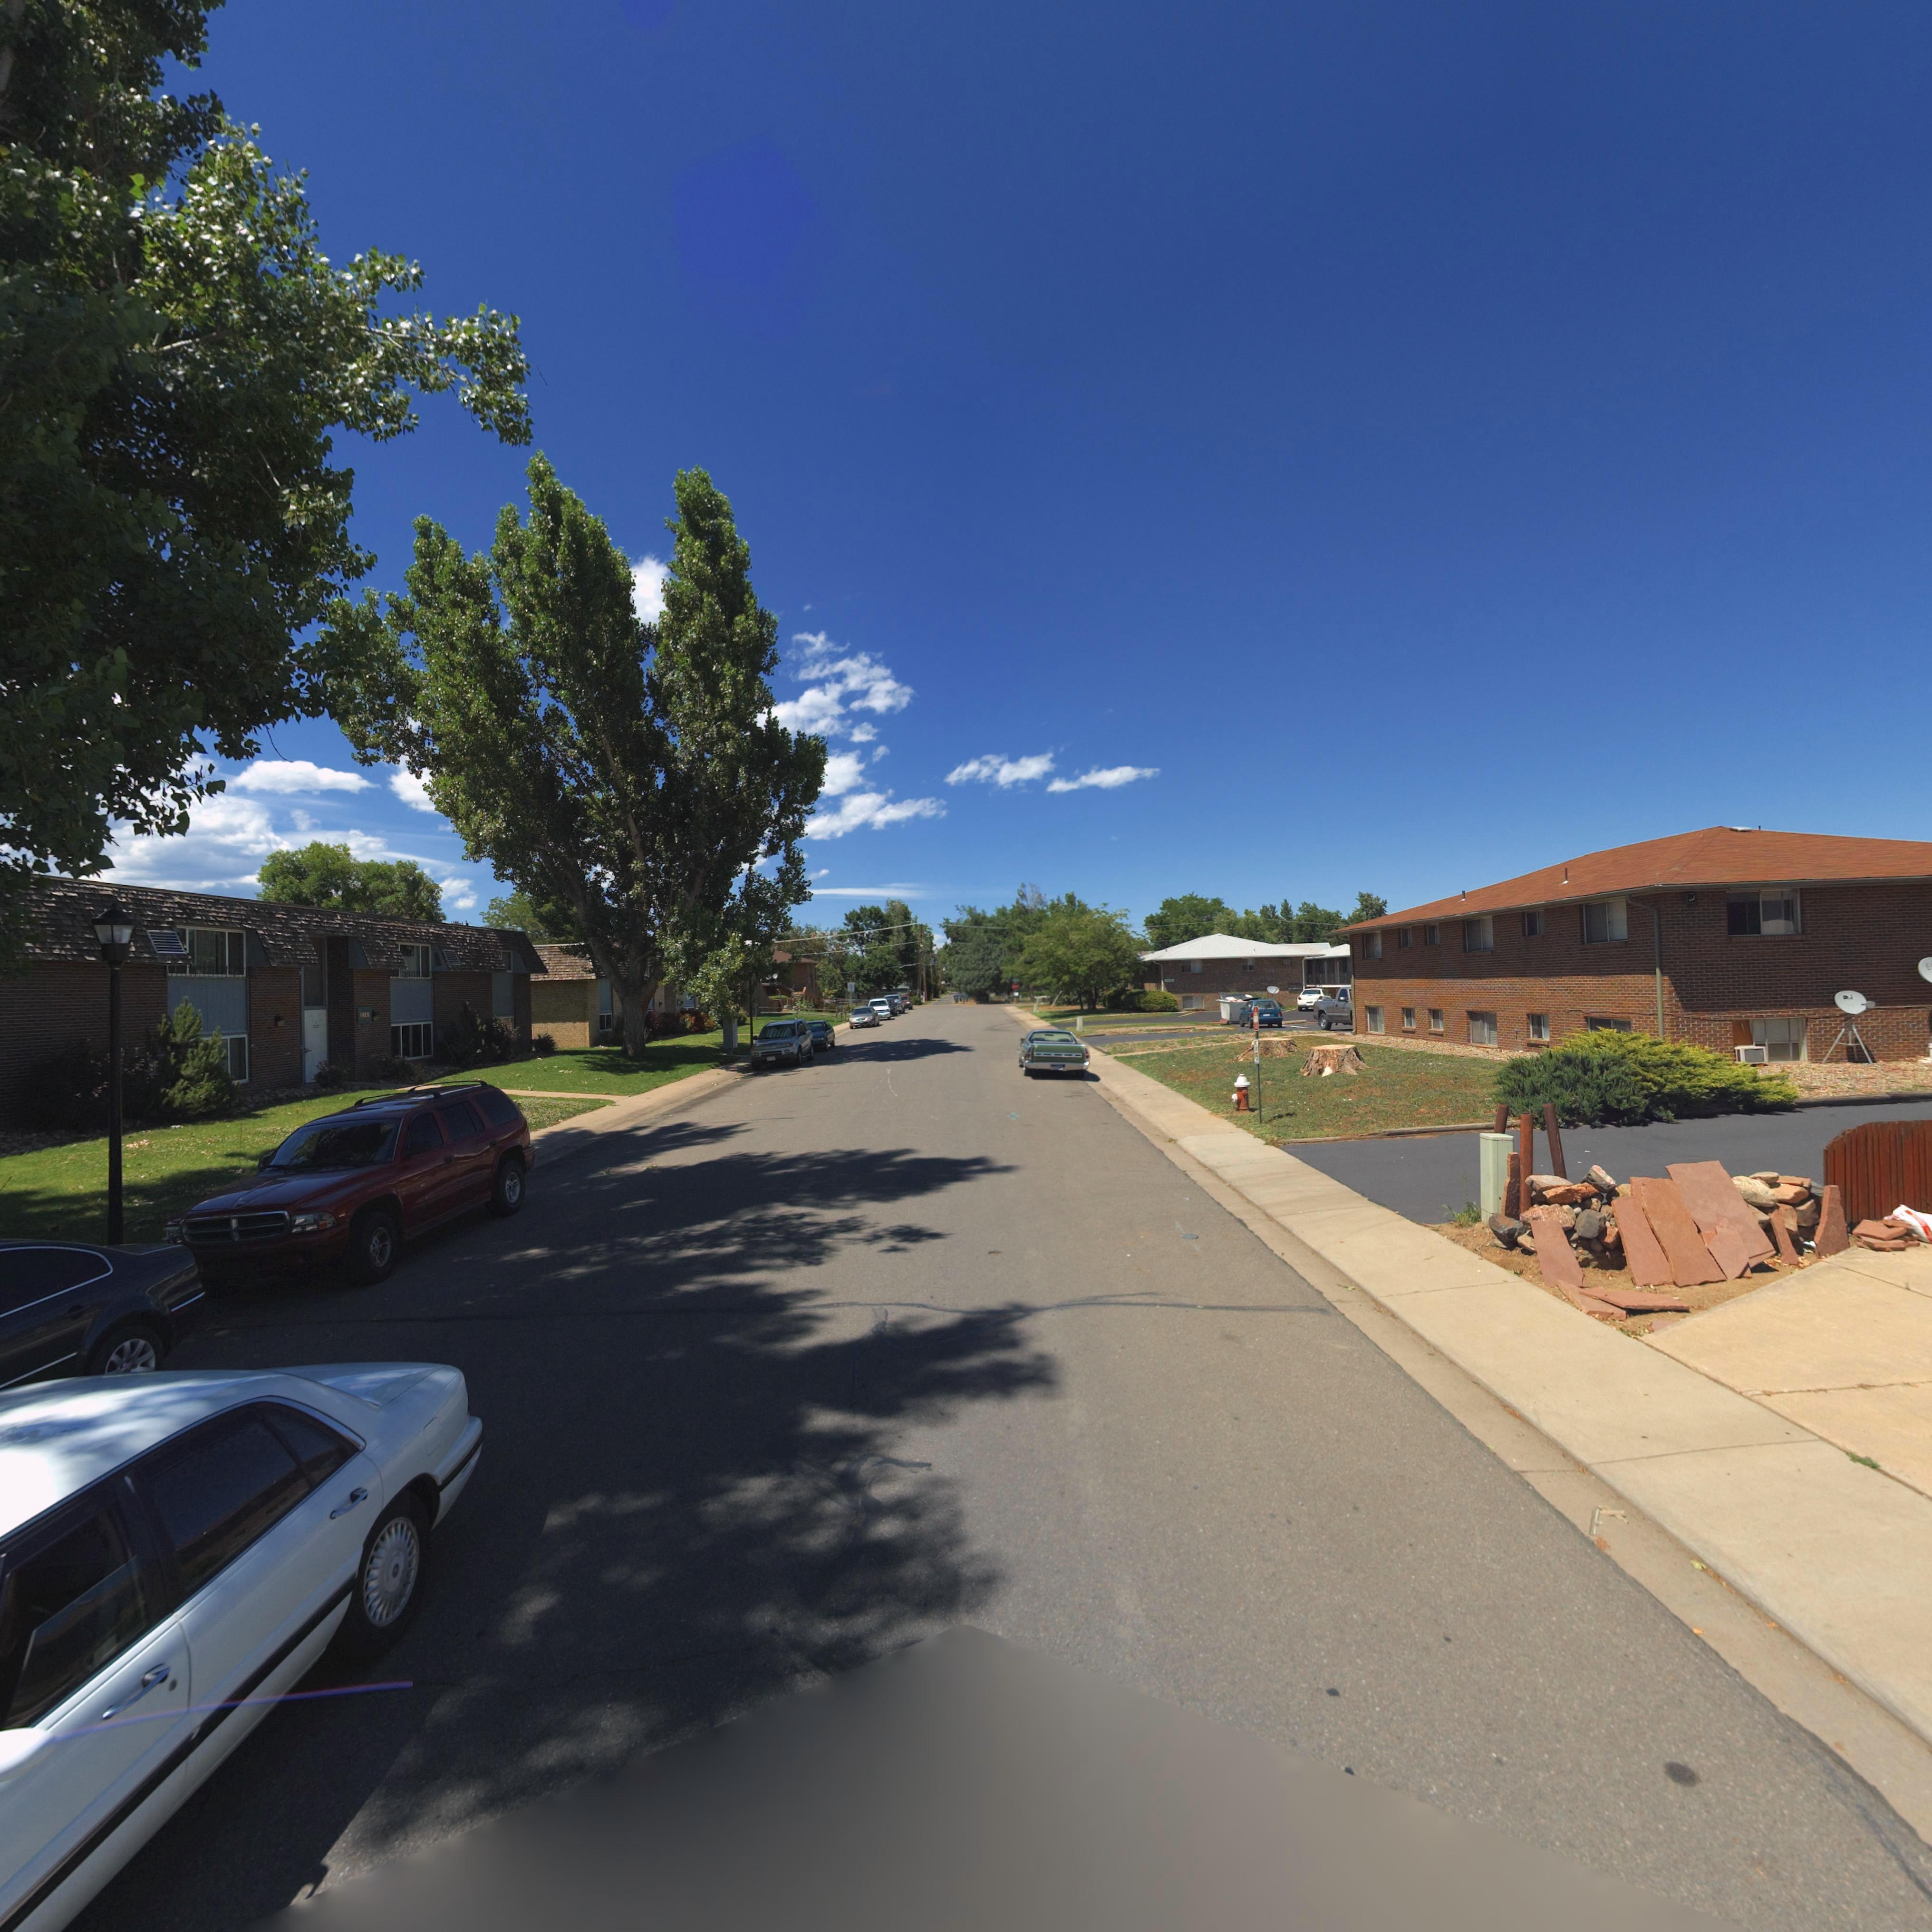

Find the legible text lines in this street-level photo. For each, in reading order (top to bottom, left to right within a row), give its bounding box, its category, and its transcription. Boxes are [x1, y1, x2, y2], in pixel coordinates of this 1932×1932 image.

[1165, 979, 1173, 982] StreetNumber: 14*0
[360, 1012, 370, 1017] StreetNumber: 1425